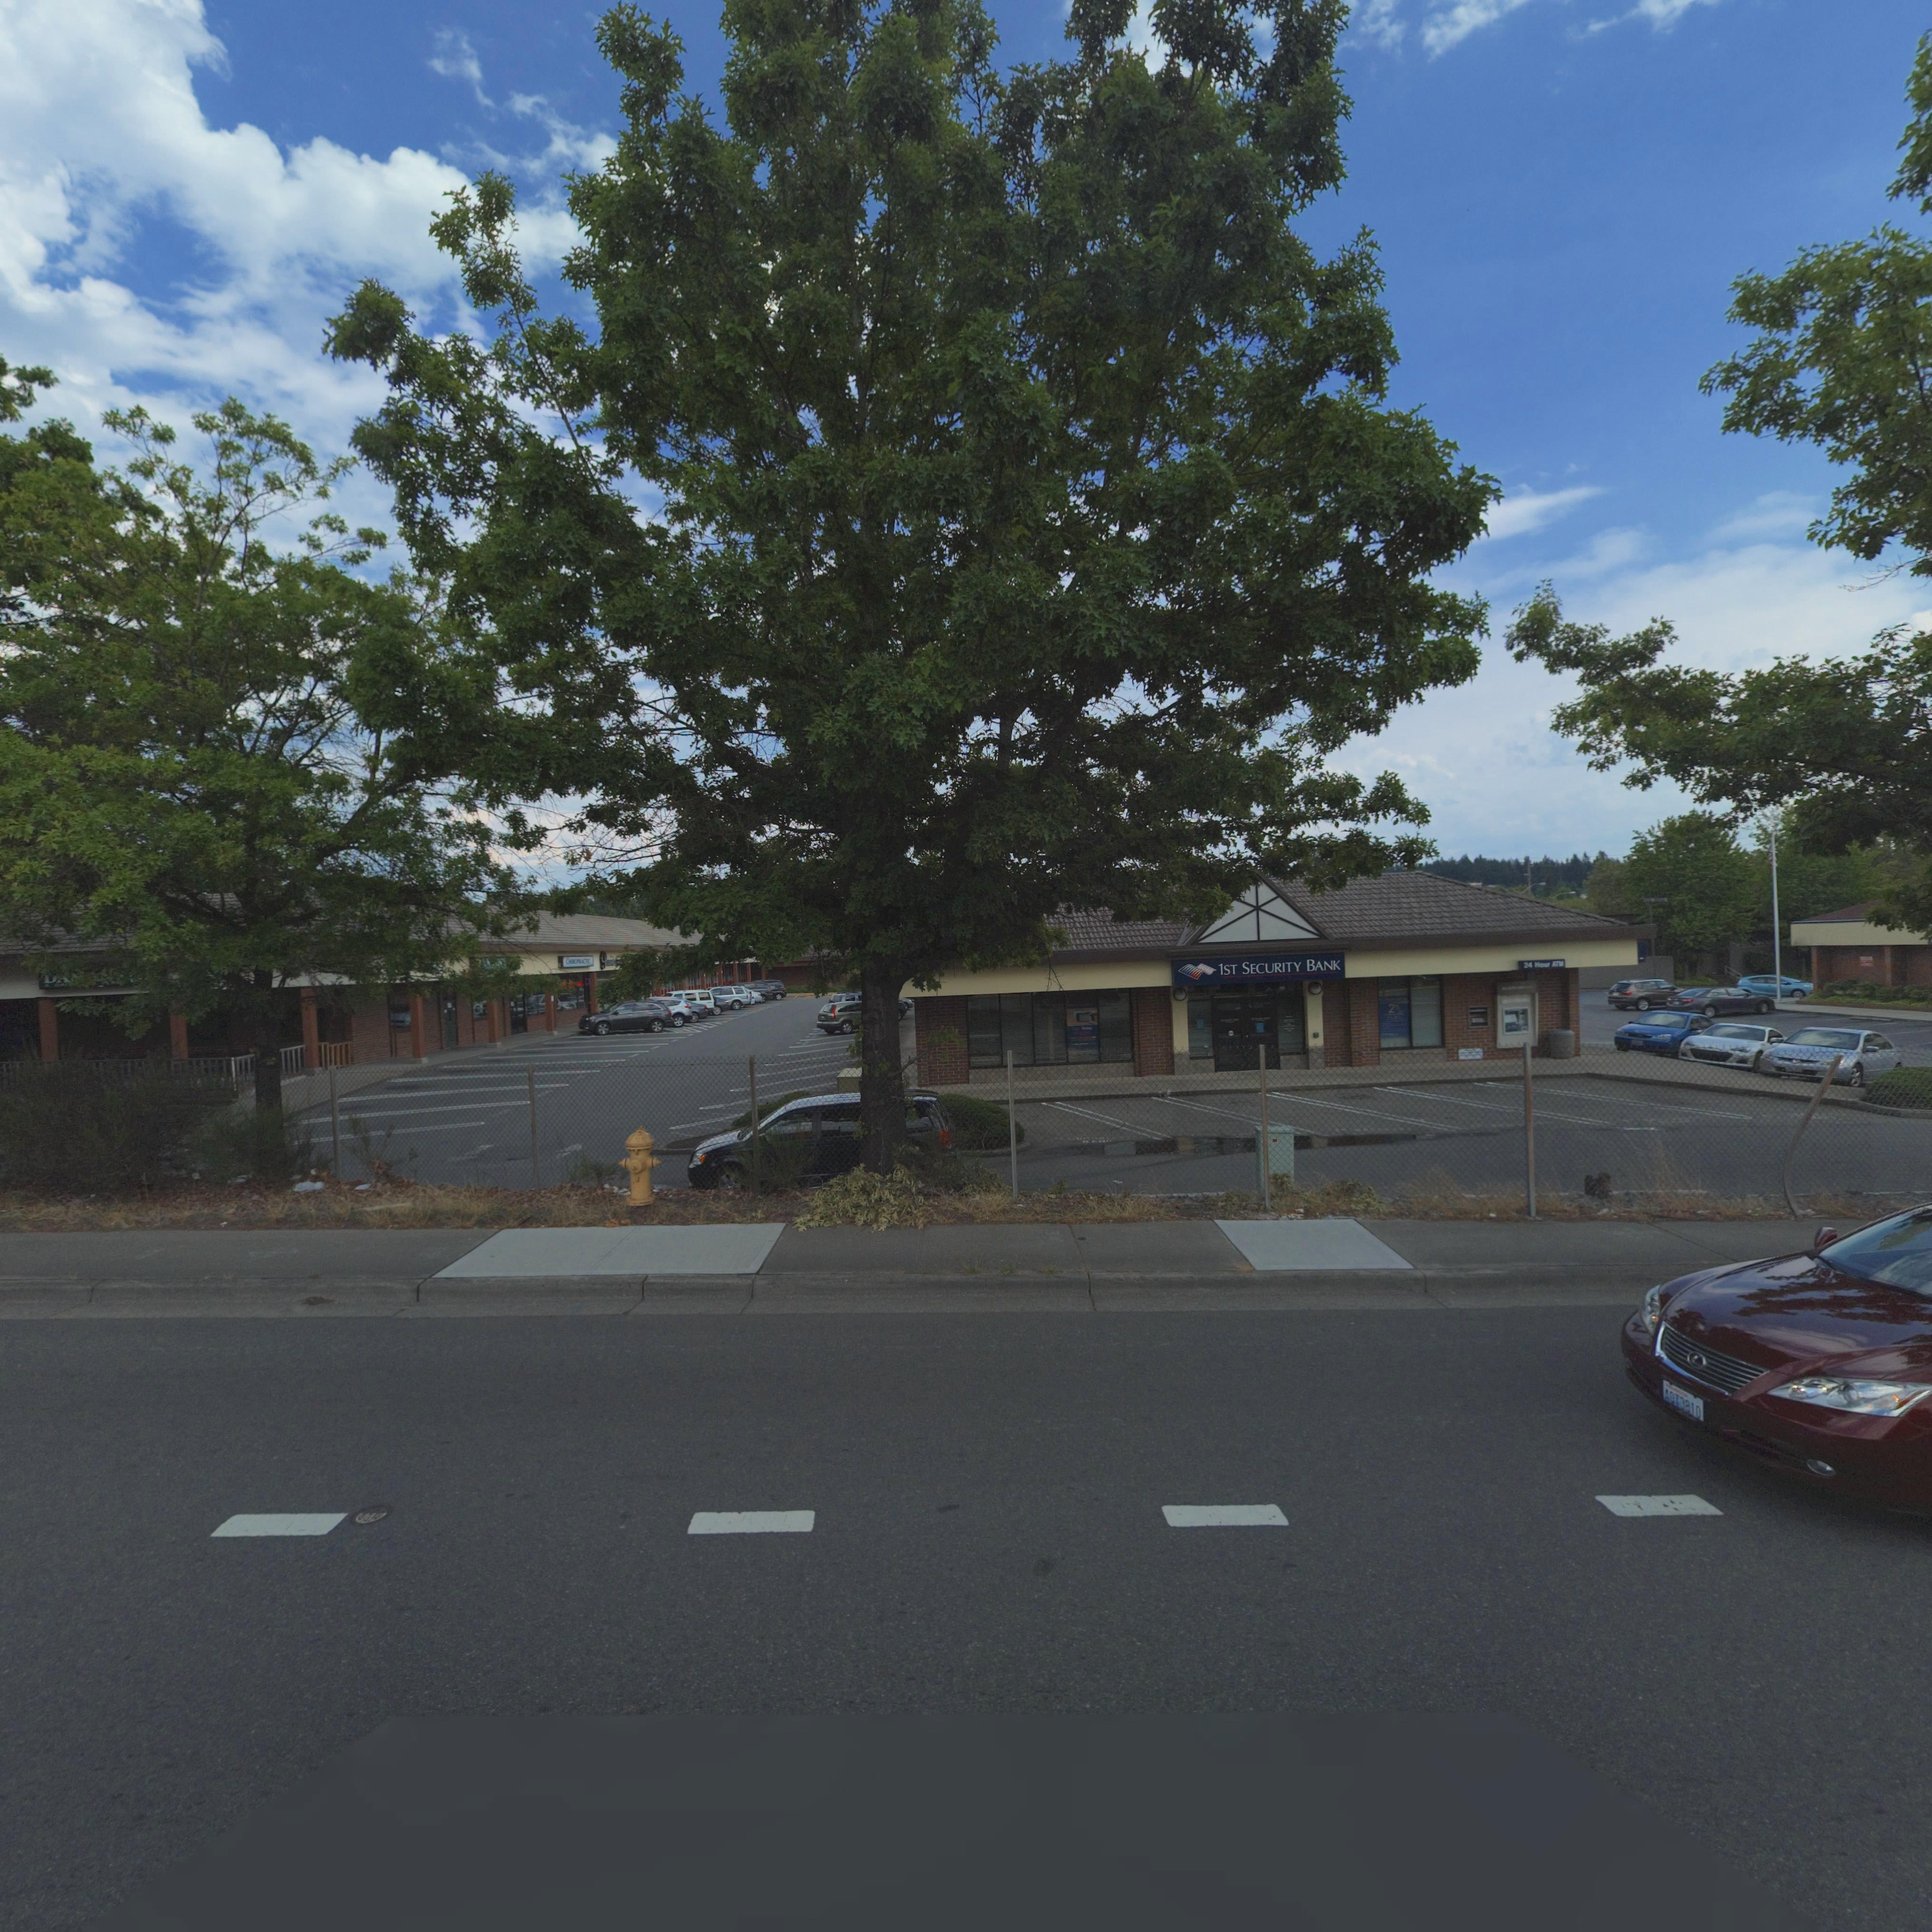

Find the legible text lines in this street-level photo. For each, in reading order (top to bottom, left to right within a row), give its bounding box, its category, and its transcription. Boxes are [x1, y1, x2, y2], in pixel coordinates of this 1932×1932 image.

[565, 958, 590, 965] BusinessName: CHIROPRACTIC
[1217, 958, 1341, 976] BusinessName: 1ST SECURITY BANK